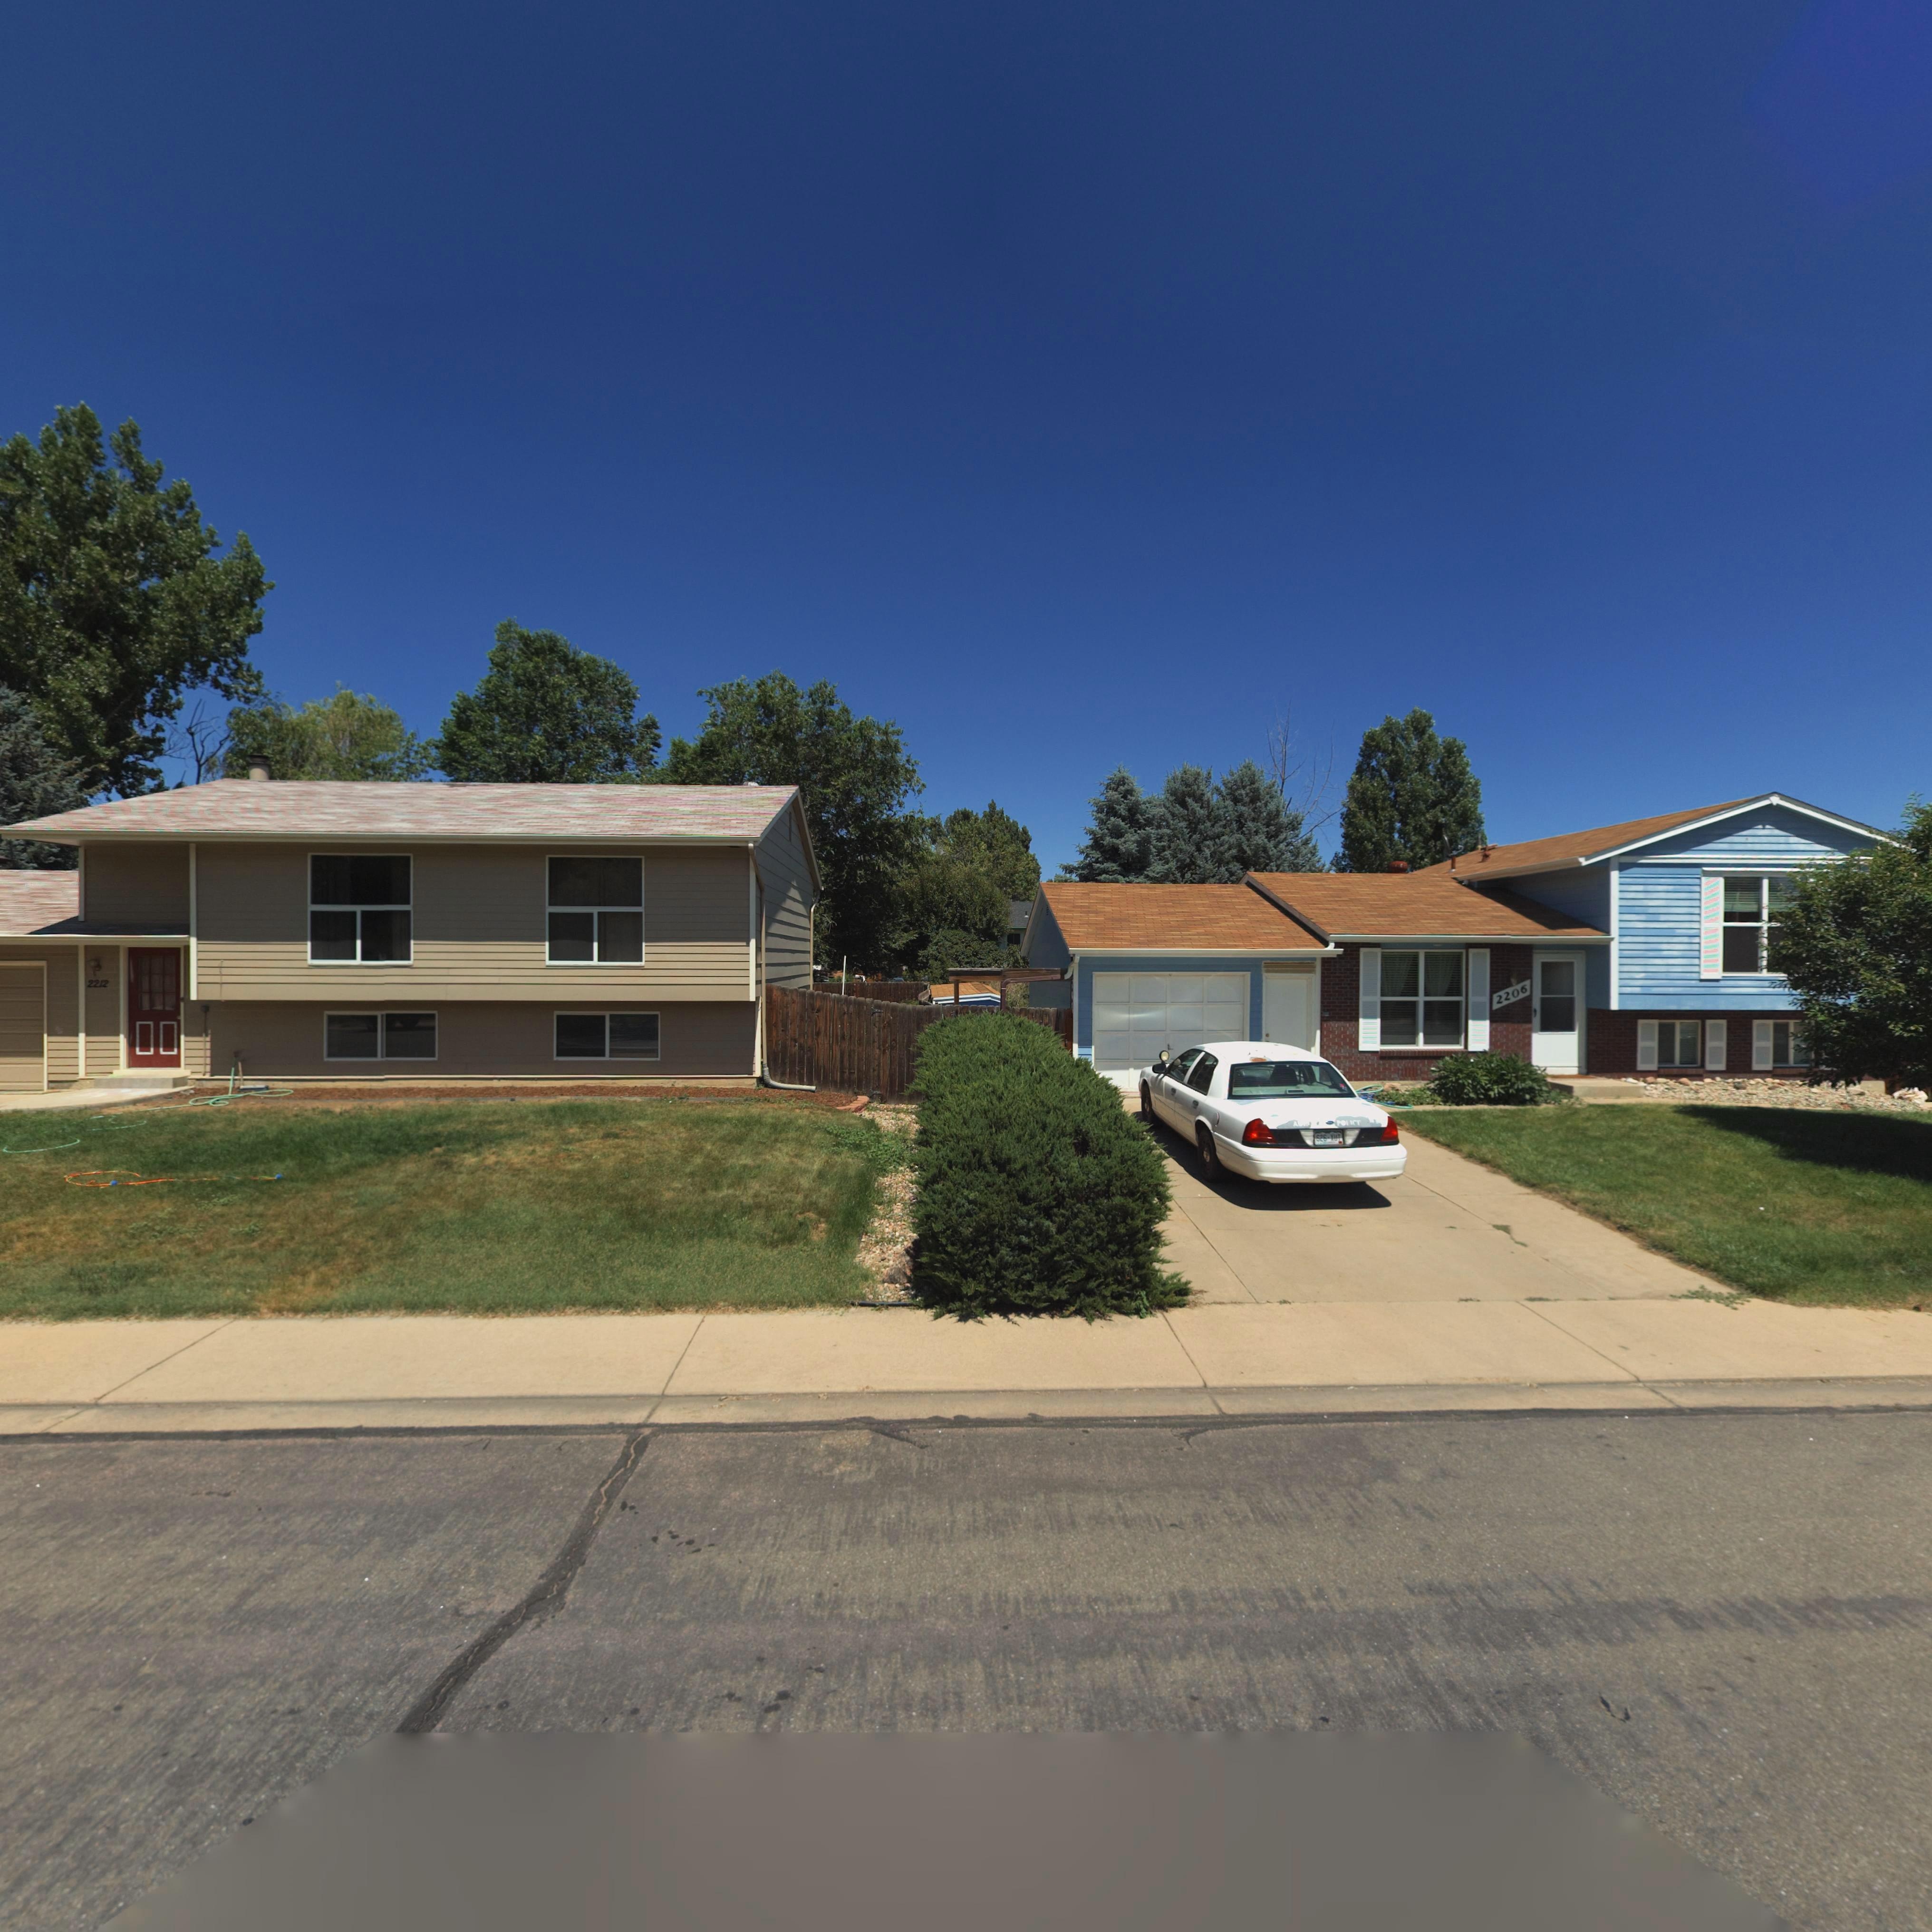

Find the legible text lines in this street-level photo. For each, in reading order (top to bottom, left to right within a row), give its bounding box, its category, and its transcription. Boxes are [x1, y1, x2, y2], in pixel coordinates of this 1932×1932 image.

[87, 979, 109, 987] StreetNumber: 2212
[1496, 983, 1528, 1005] StreetNumber: 2206